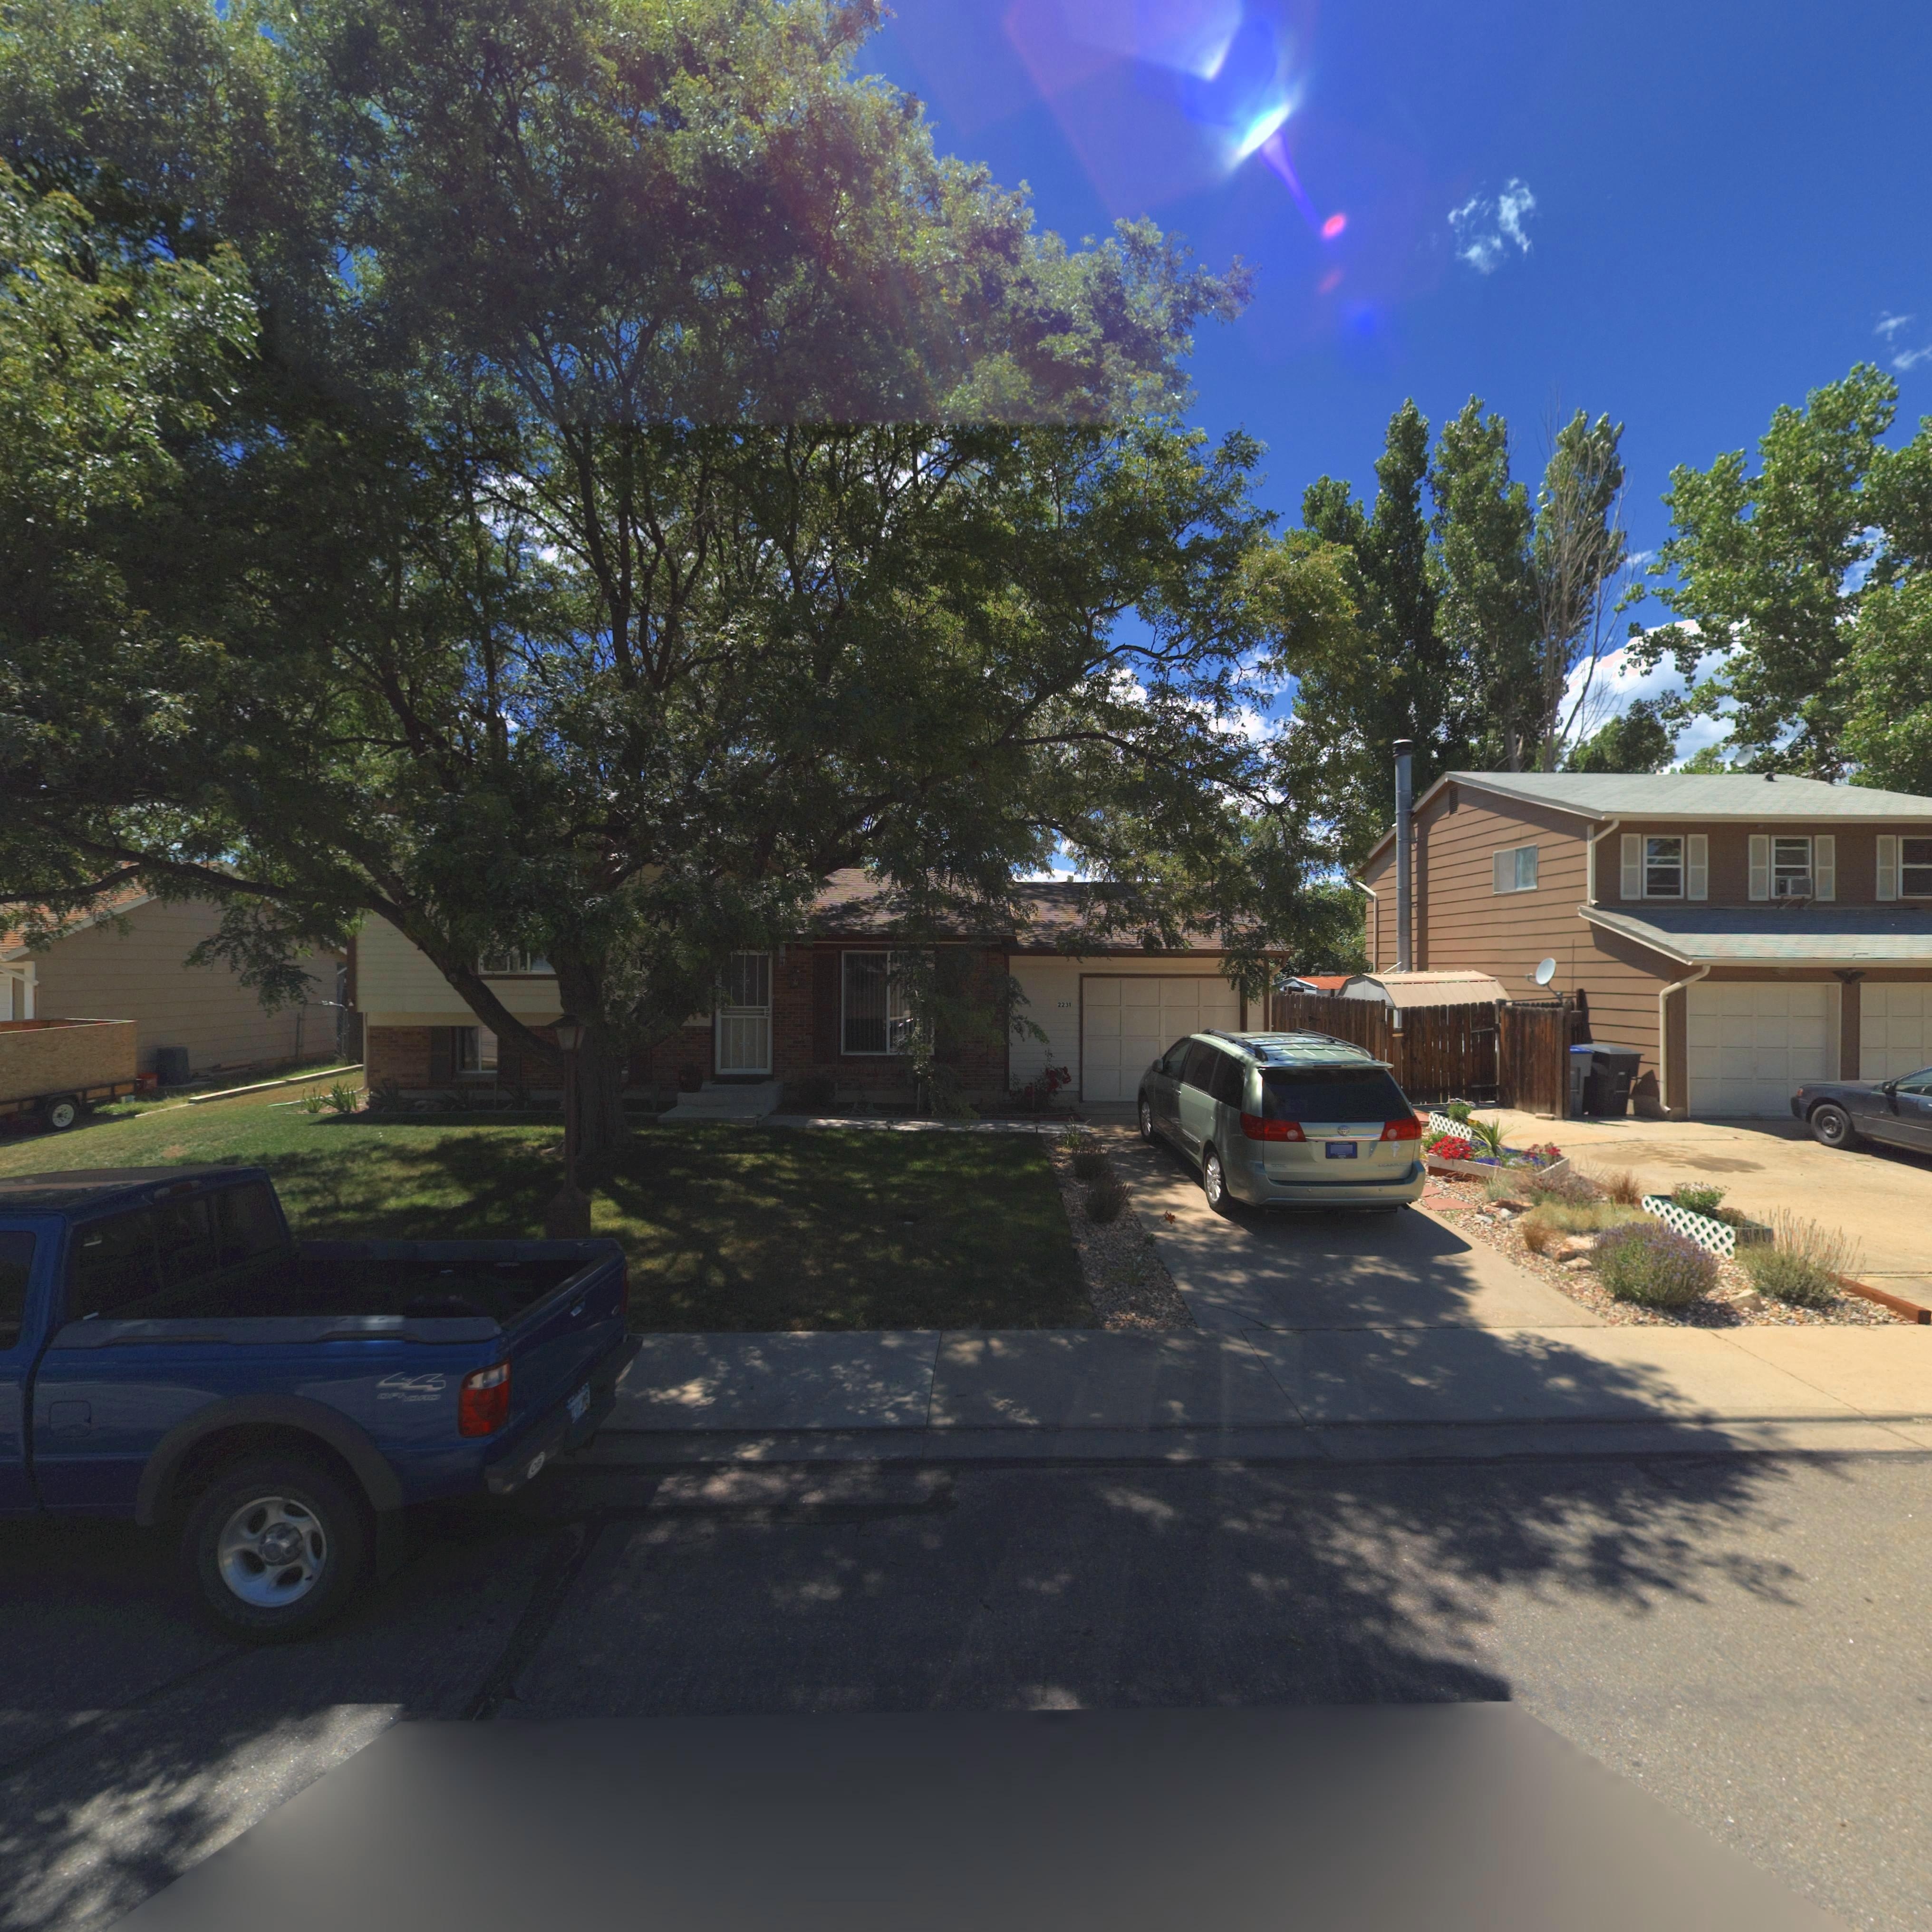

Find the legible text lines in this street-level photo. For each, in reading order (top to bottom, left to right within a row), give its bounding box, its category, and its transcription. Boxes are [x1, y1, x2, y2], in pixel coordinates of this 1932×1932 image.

[1057, 1002, 1071, 1007] StreetNumber: 2231